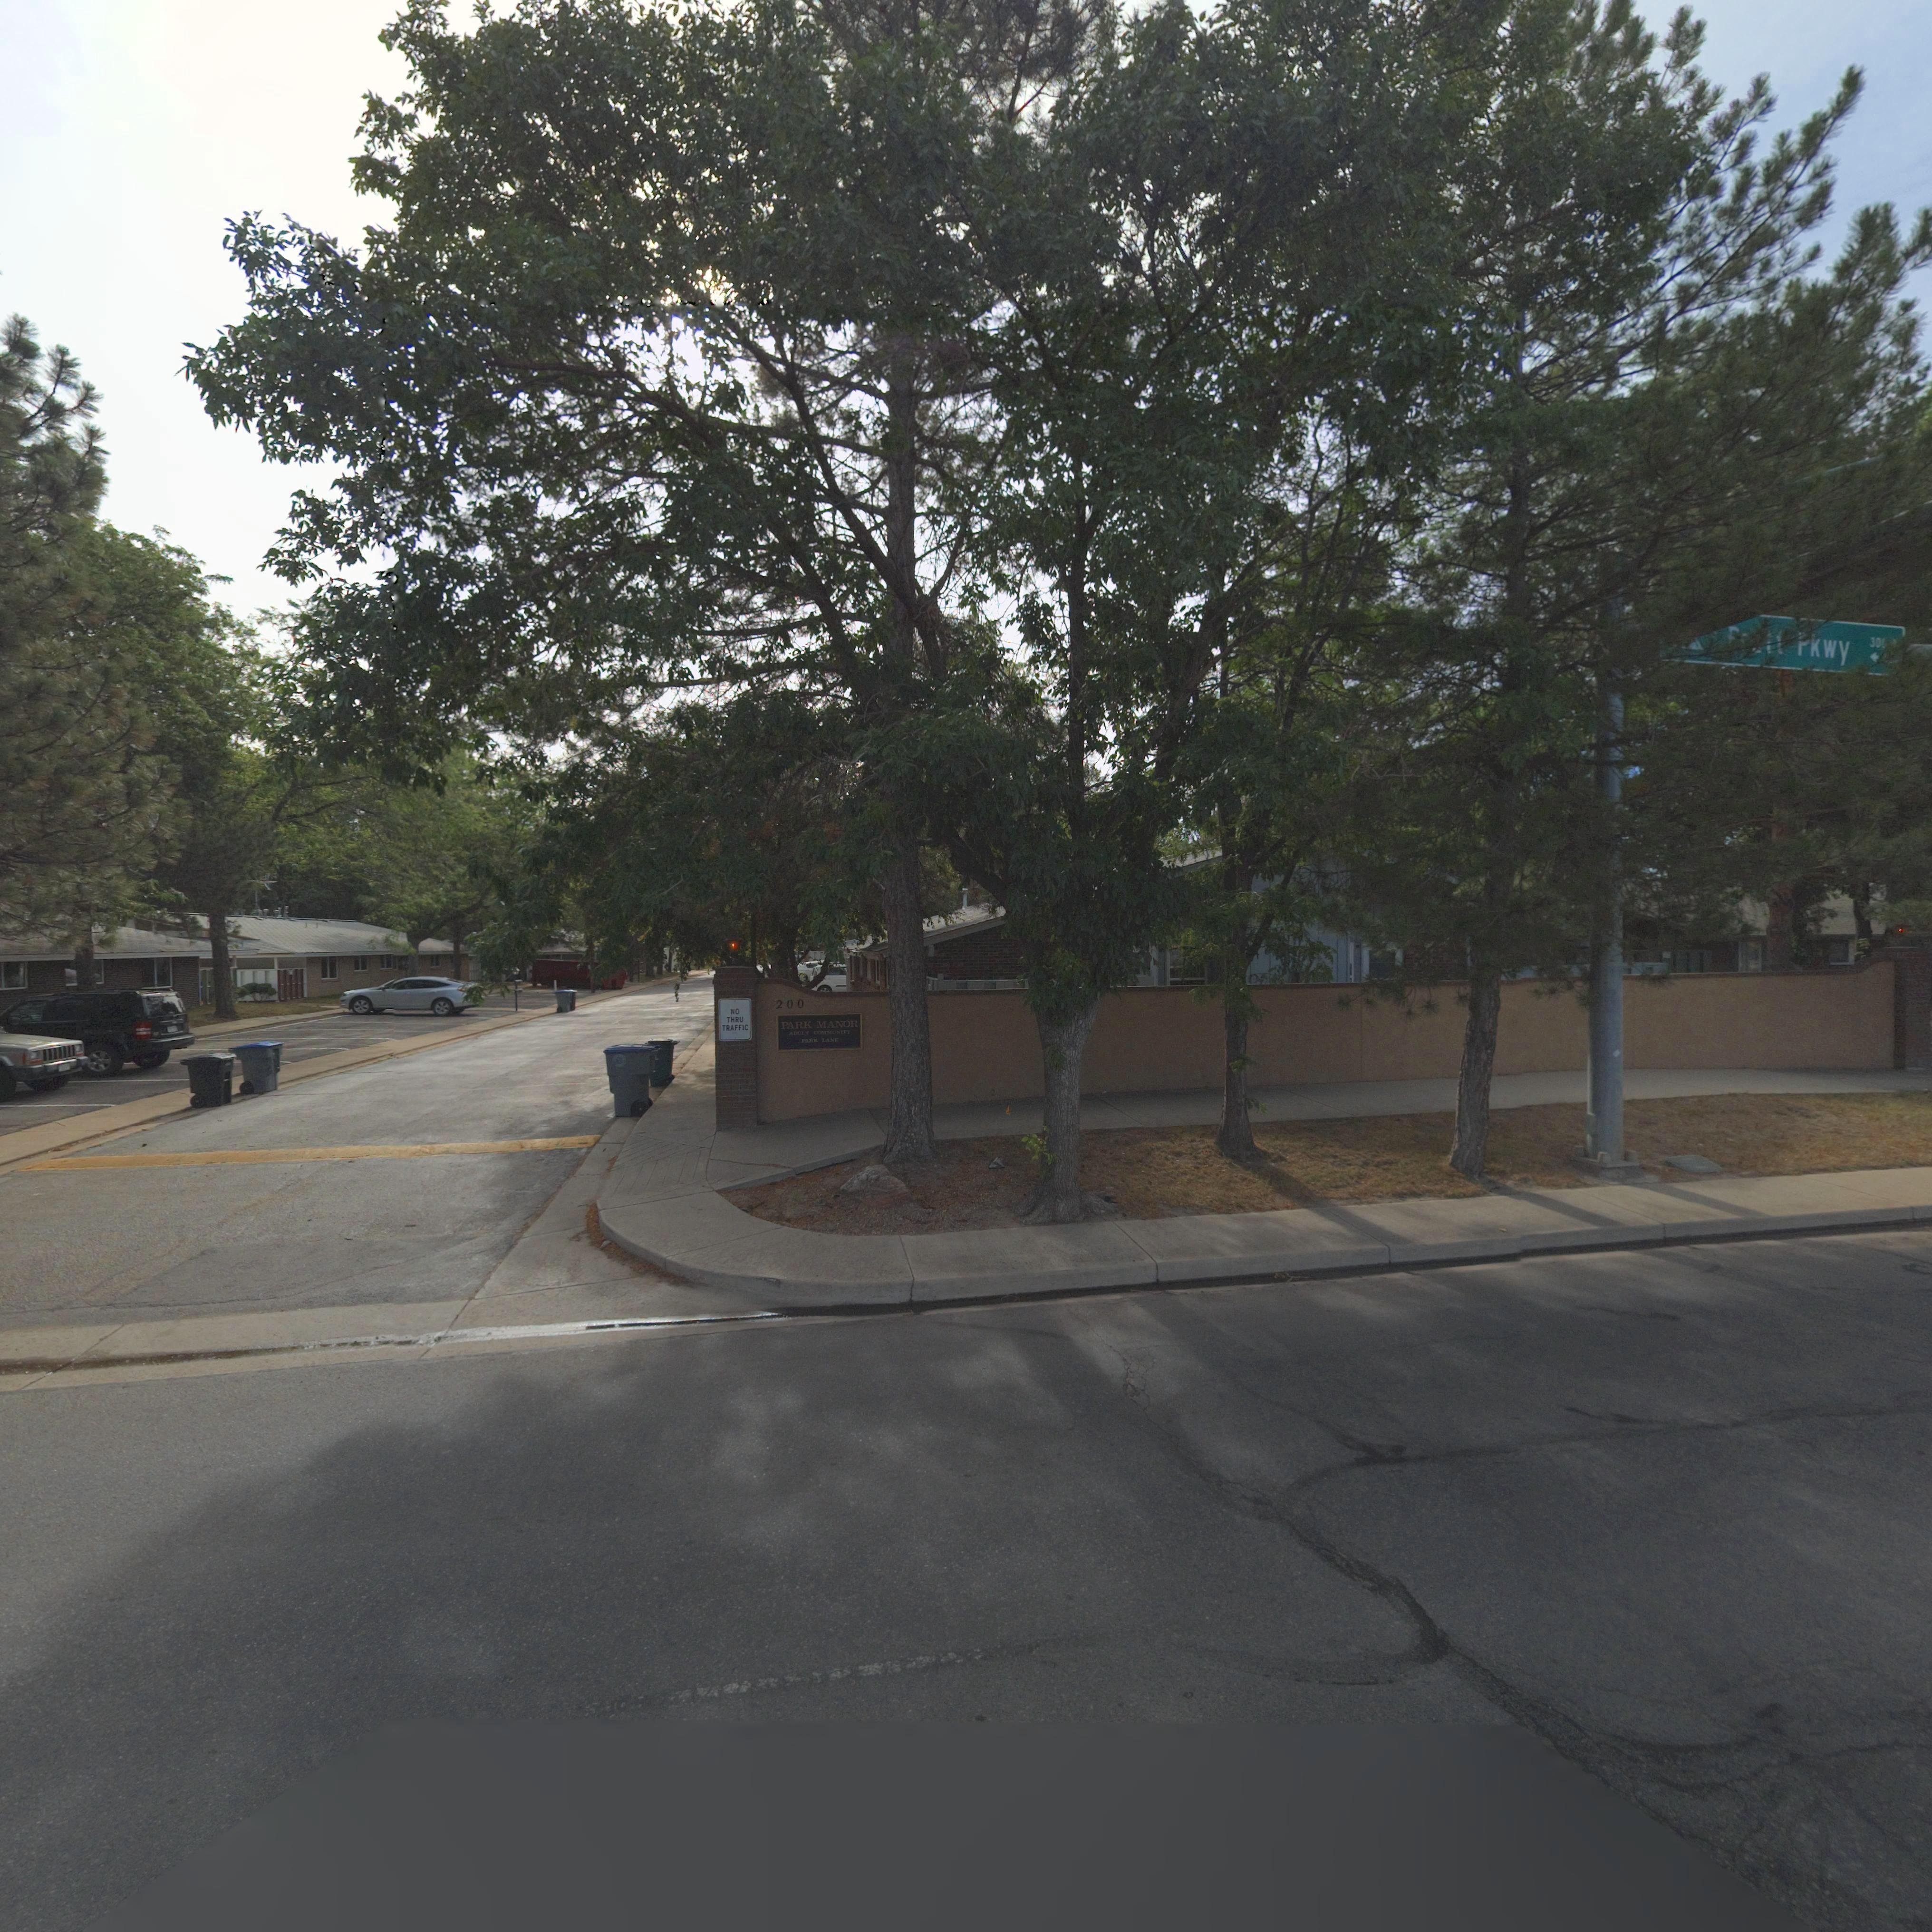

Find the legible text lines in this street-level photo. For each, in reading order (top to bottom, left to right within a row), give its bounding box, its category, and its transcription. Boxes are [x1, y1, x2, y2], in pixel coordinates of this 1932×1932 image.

[1727, 625, 1851, 667] StreetName: ***tt Pkwy
[1869, 636, 1890, 648] StreetNumberRange: 30*
[774, 998, 804, 1009] StreetNumber: 200
[802, 1037, 839, 1043] StreetName: PARK LANE